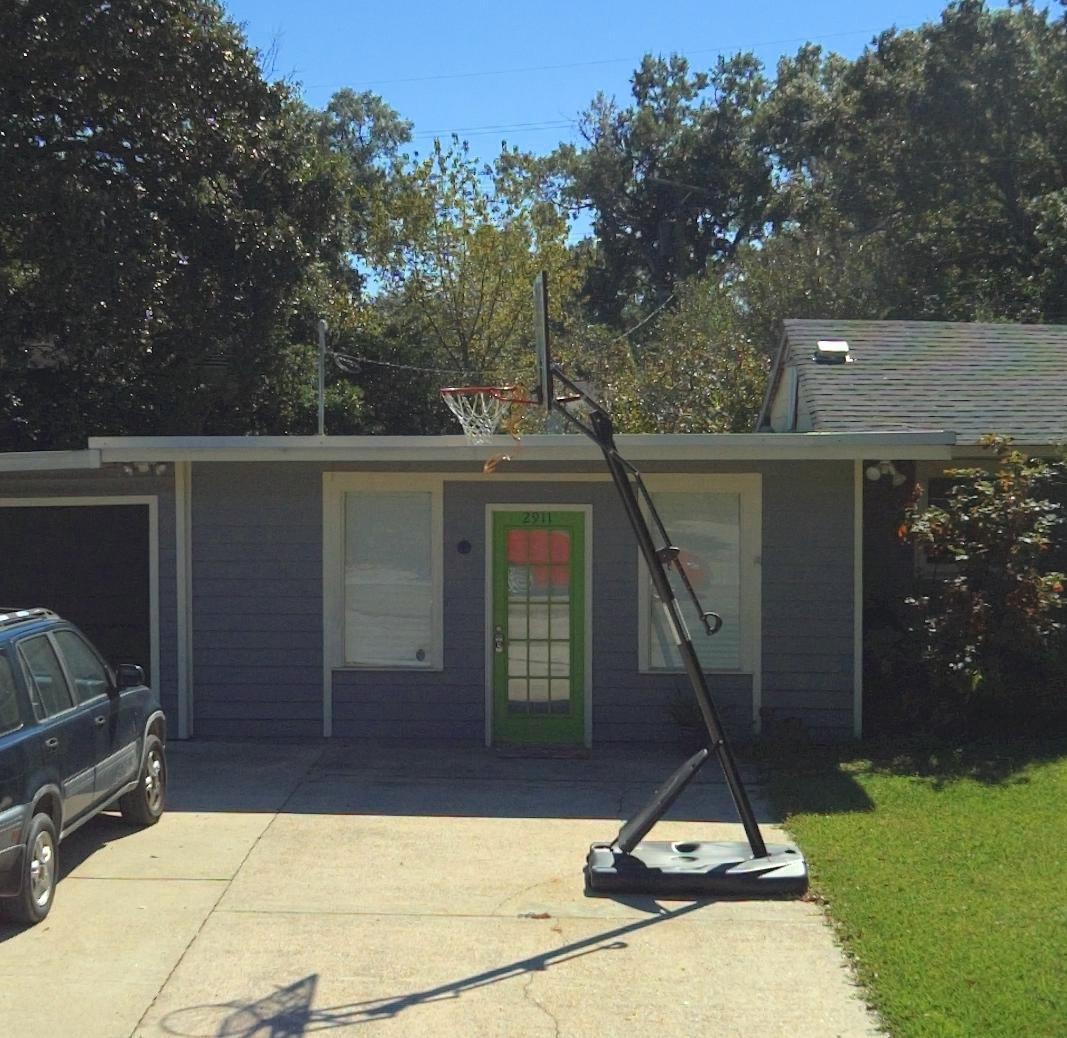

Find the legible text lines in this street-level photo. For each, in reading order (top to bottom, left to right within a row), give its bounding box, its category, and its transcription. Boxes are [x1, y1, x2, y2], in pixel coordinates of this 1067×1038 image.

[521, 510, 554, 526] StreetNumber: 2911